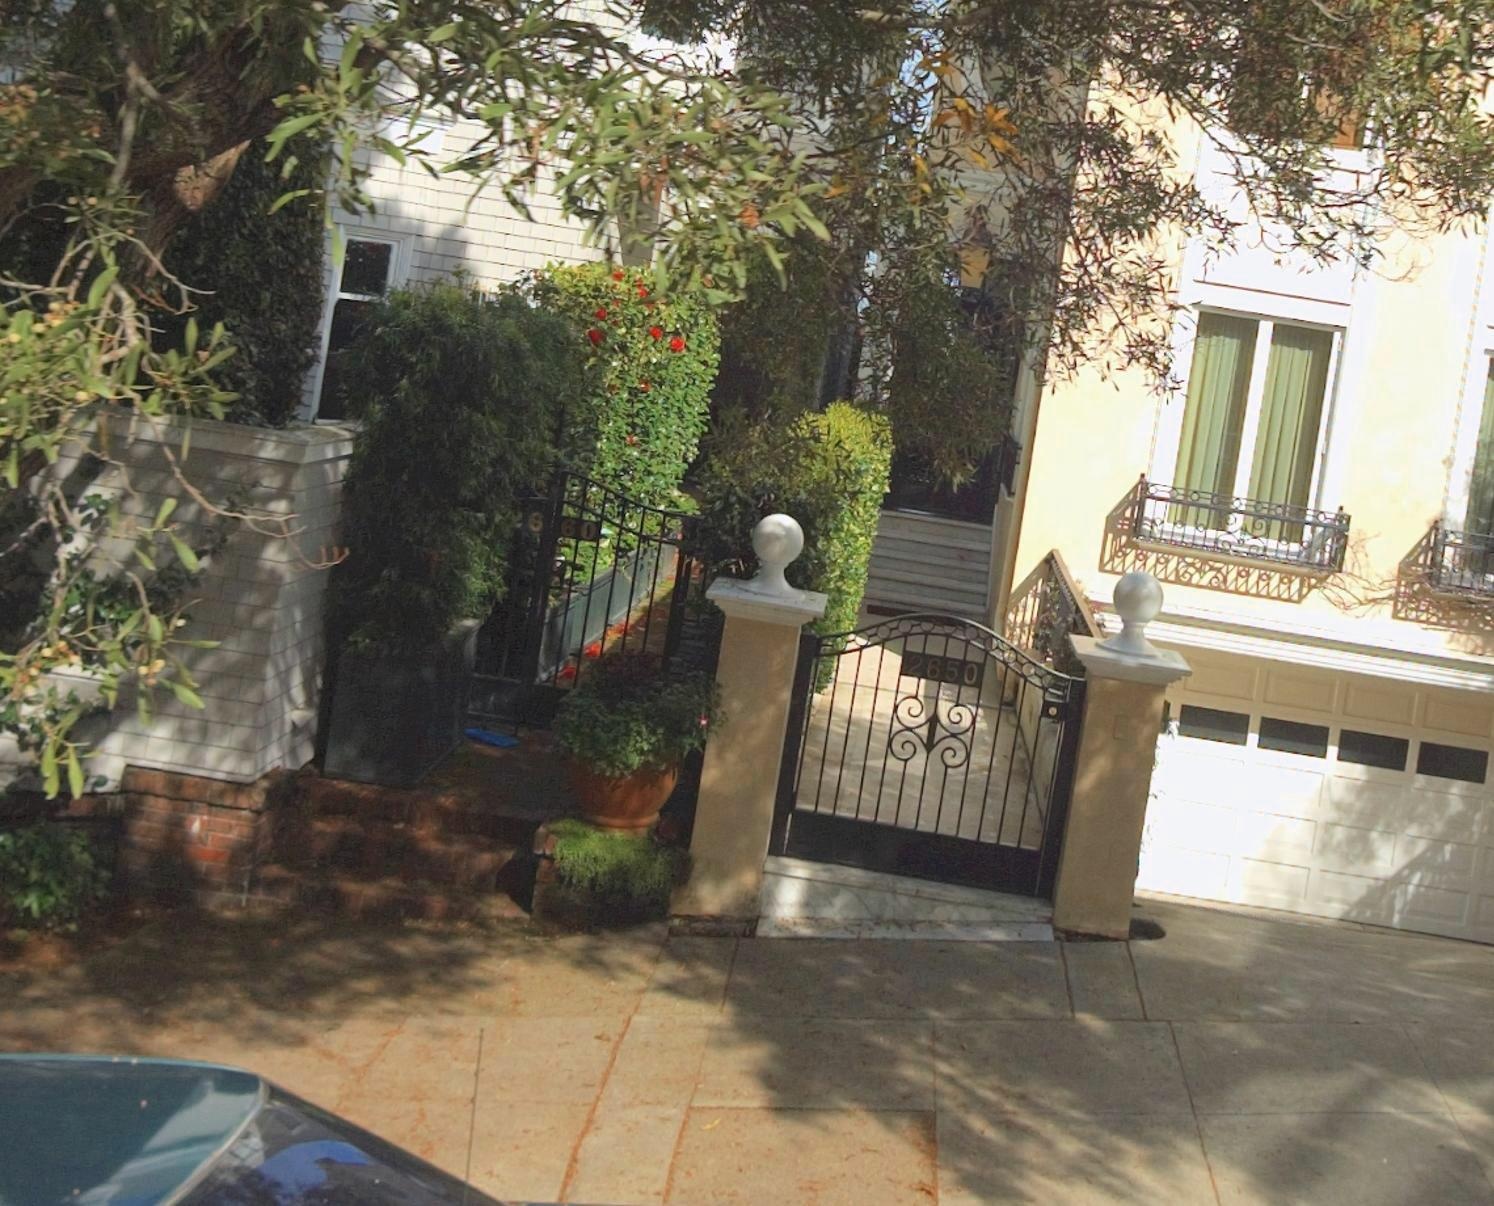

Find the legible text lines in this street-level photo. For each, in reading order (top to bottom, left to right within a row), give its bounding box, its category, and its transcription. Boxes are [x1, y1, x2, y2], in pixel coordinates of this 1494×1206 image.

[525, 509, 597, 543] StreetNumber: 6 60
[906, 652, 980, 689] StreetNumber: 2650